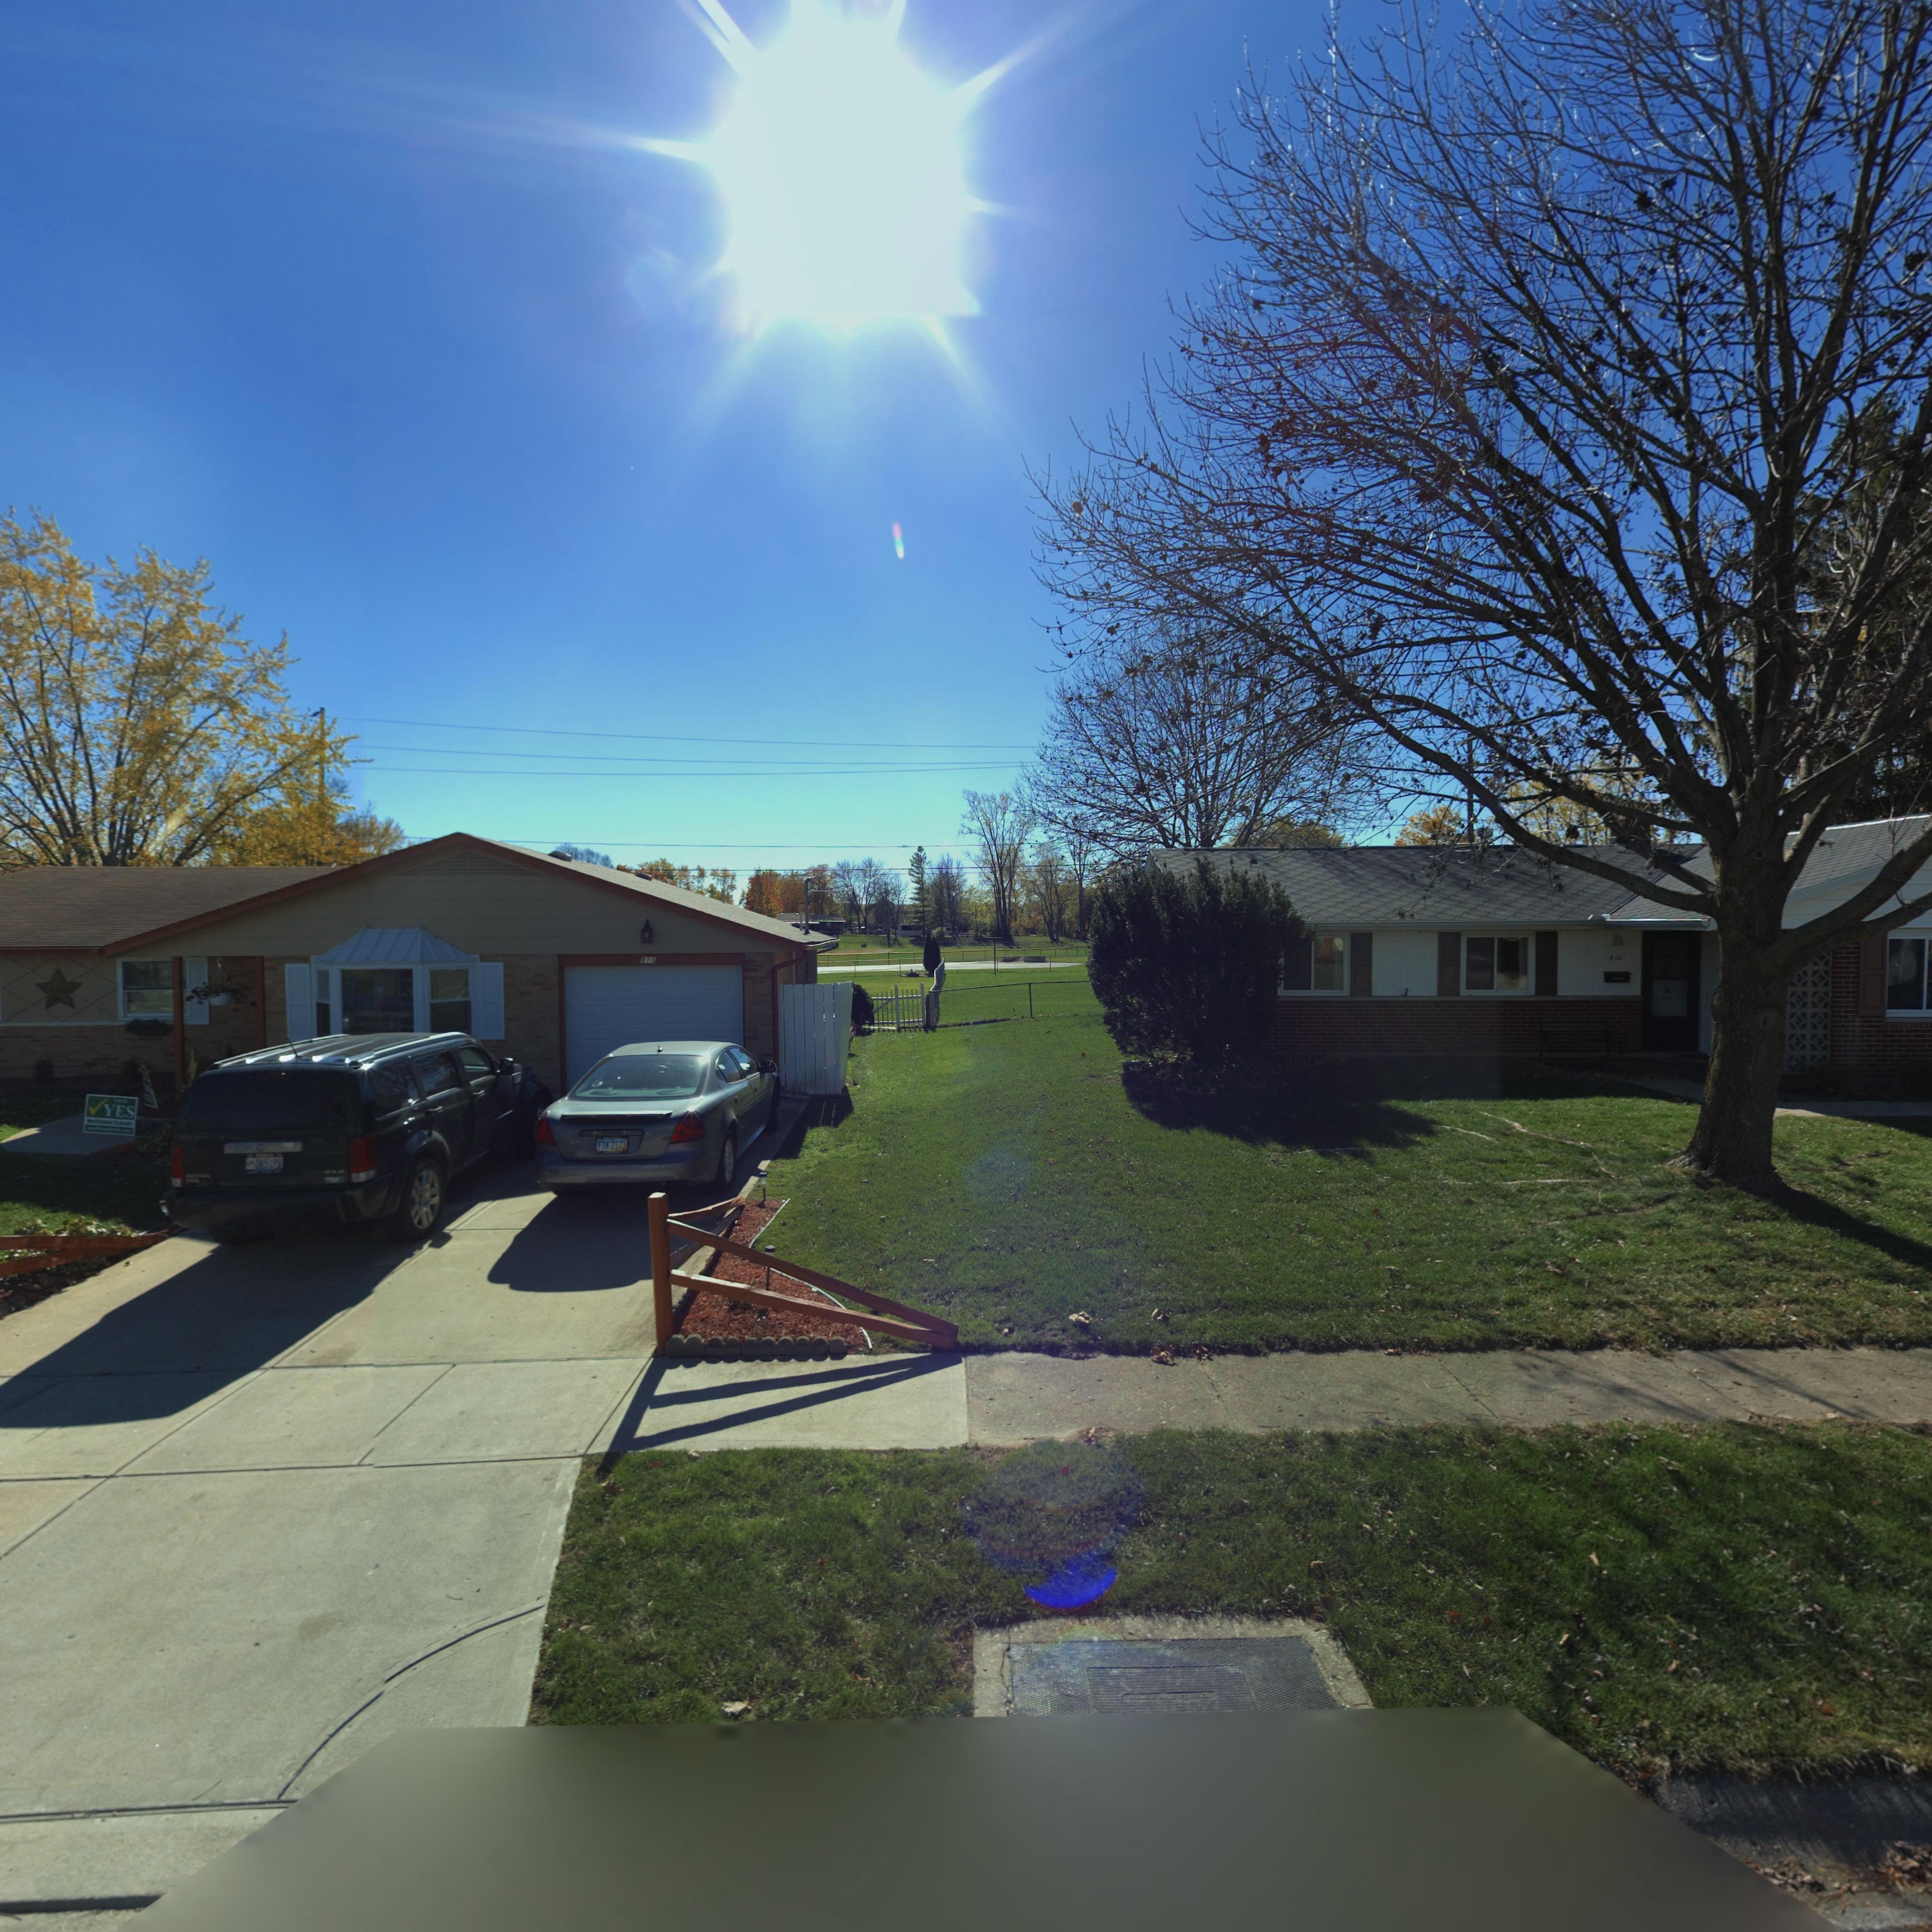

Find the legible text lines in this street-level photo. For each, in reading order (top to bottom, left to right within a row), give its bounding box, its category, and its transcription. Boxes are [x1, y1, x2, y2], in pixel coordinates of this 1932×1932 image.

[639, 957, 656, 964] StreetNumber: 810
[1609, 955, 1623, 960] StreetNumber: *12